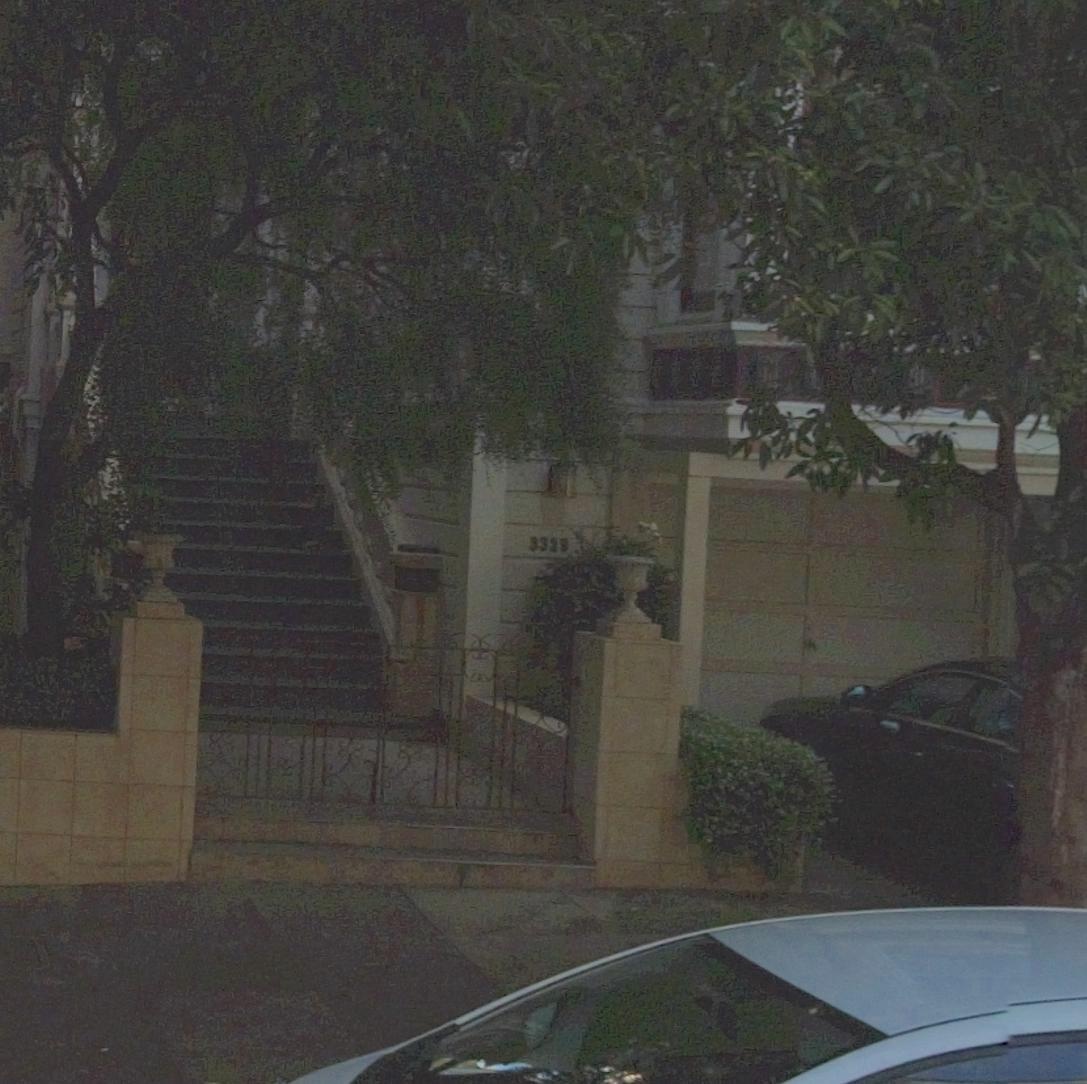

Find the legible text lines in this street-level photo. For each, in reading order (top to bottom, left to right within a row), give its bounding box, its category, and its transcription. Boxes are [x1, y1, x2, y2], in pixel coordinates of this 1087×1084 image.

[525, 534, 571, 555] StreetNumber: 33**